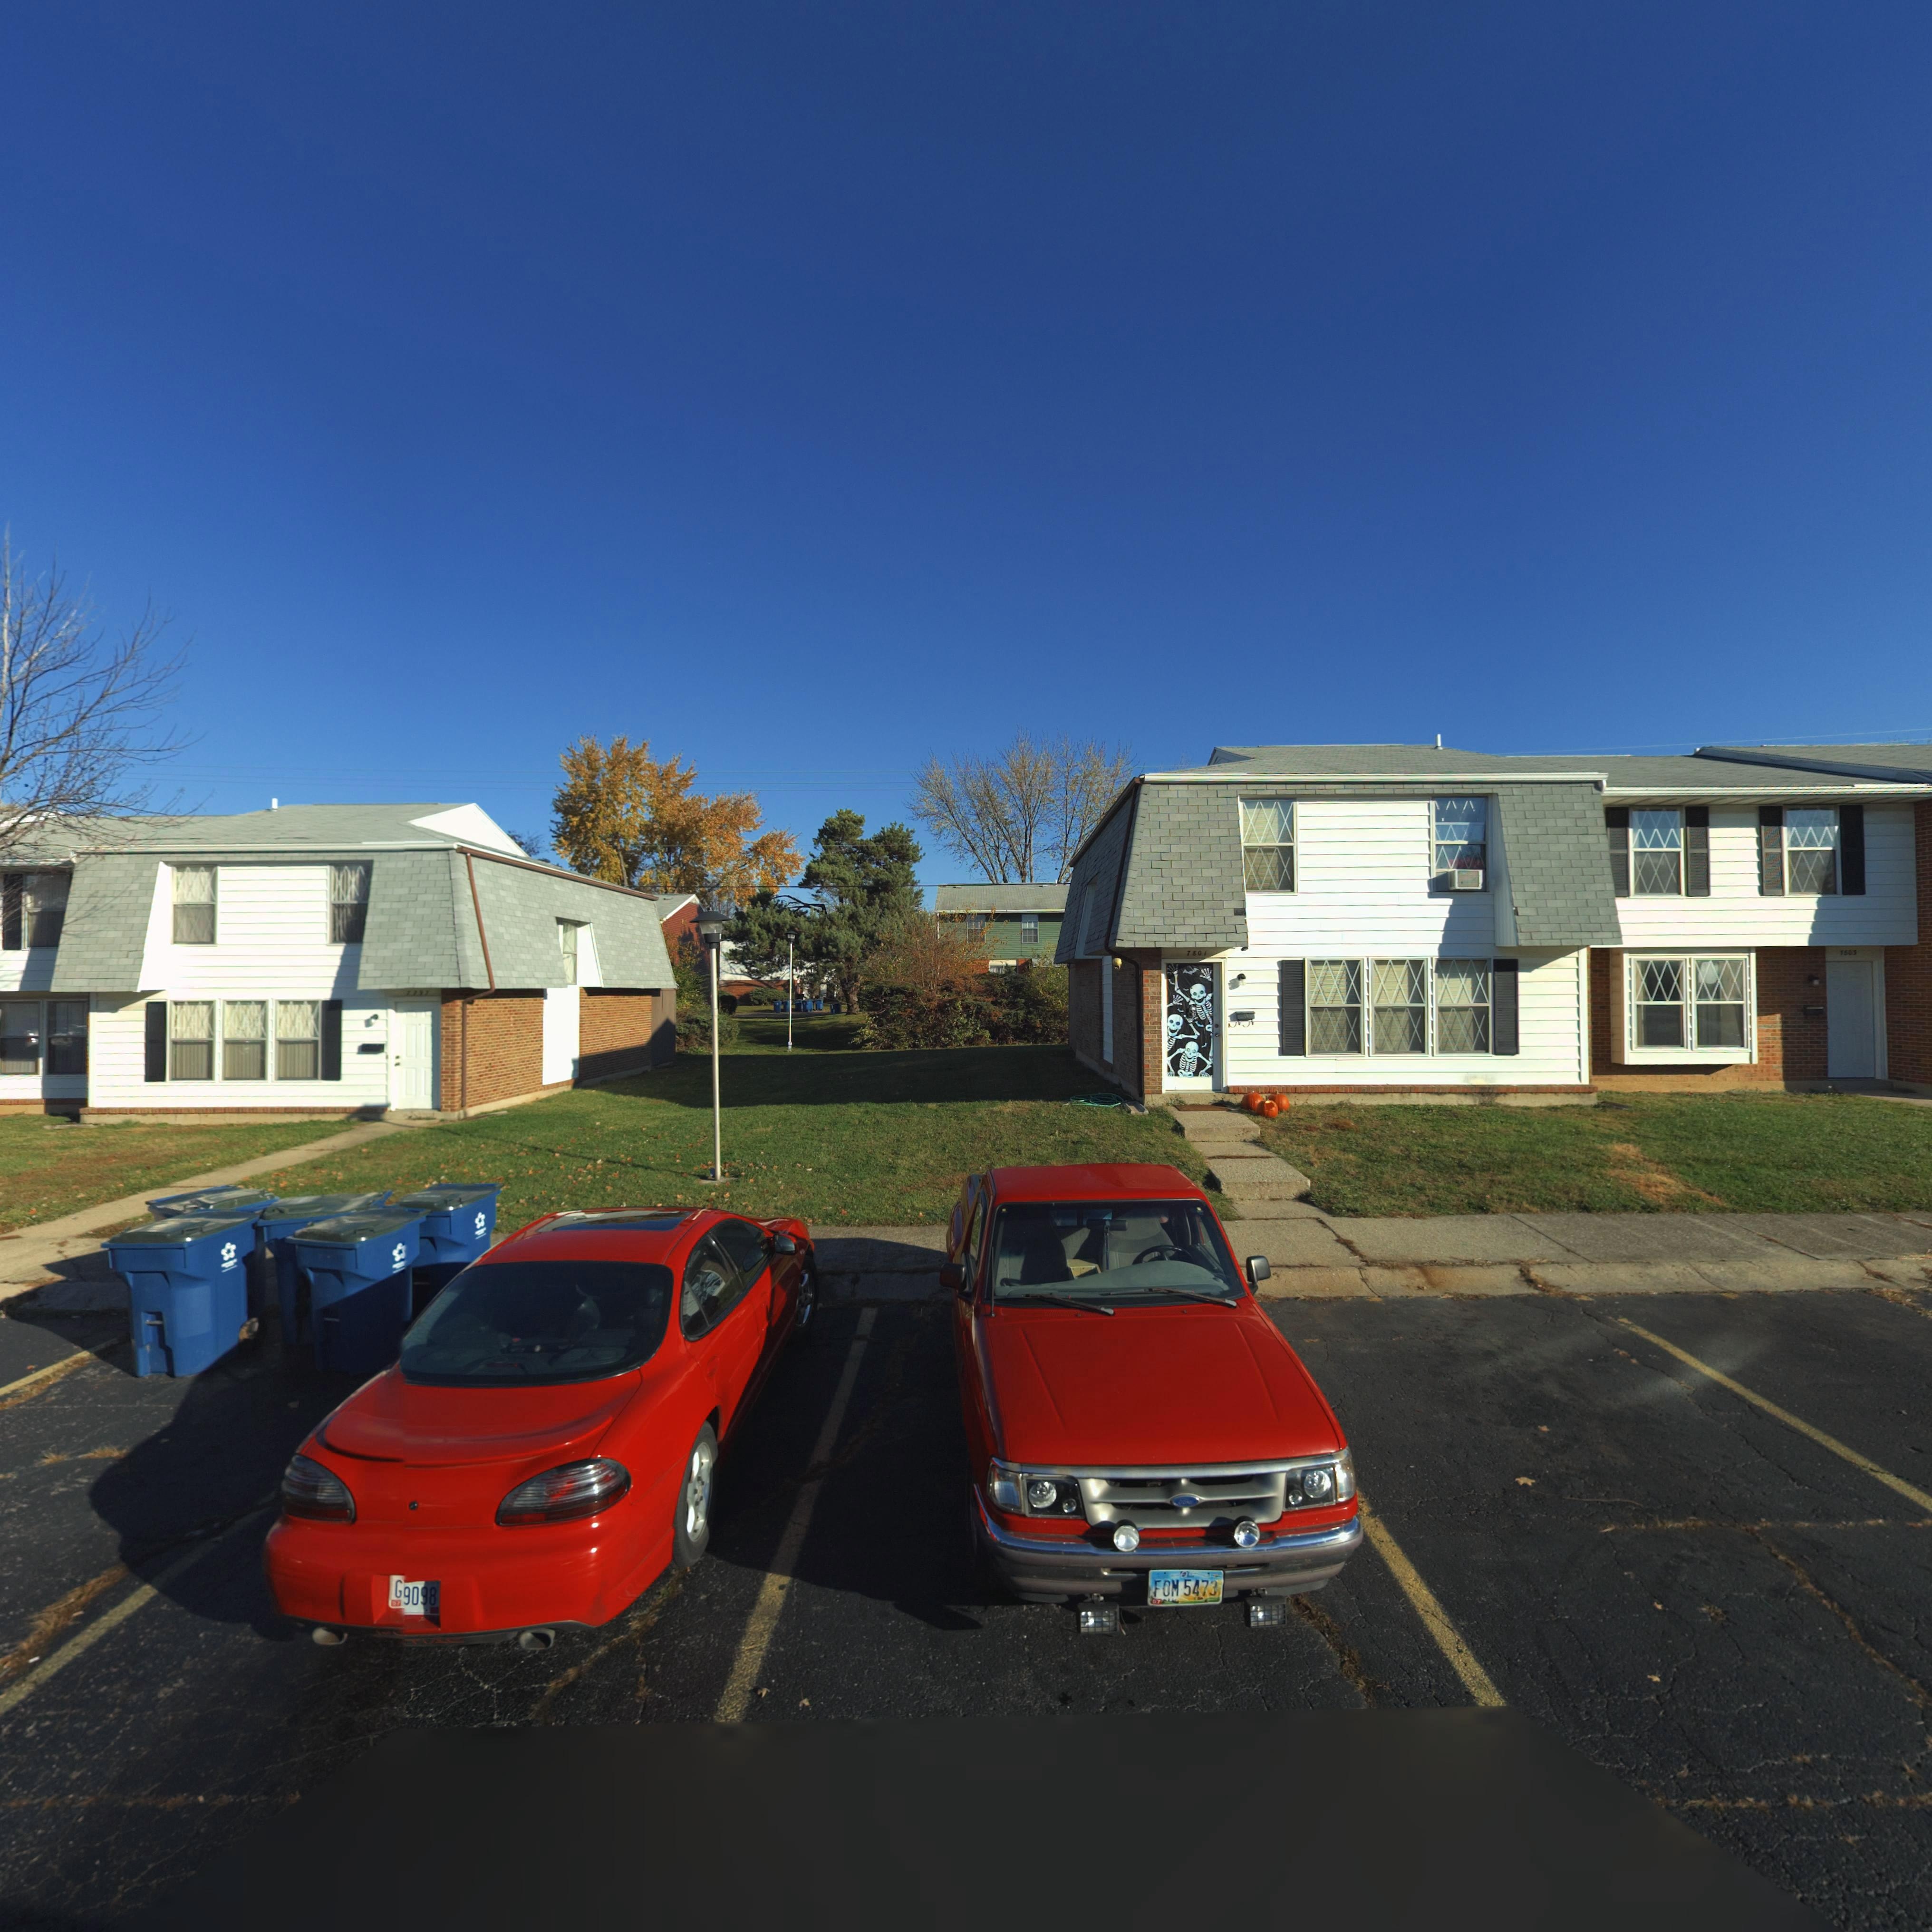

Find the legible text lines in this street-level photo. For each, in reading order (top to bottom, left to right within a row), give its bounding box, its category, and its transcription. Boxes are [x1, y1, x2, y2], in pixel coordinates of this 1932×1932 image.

[1186, 949, 1208, 957] StreetNumber: 7801
[1839, 948, 1857, 956] StreetNumber: 7803
[405, 990, 431, 996] StreetNumber: 7797